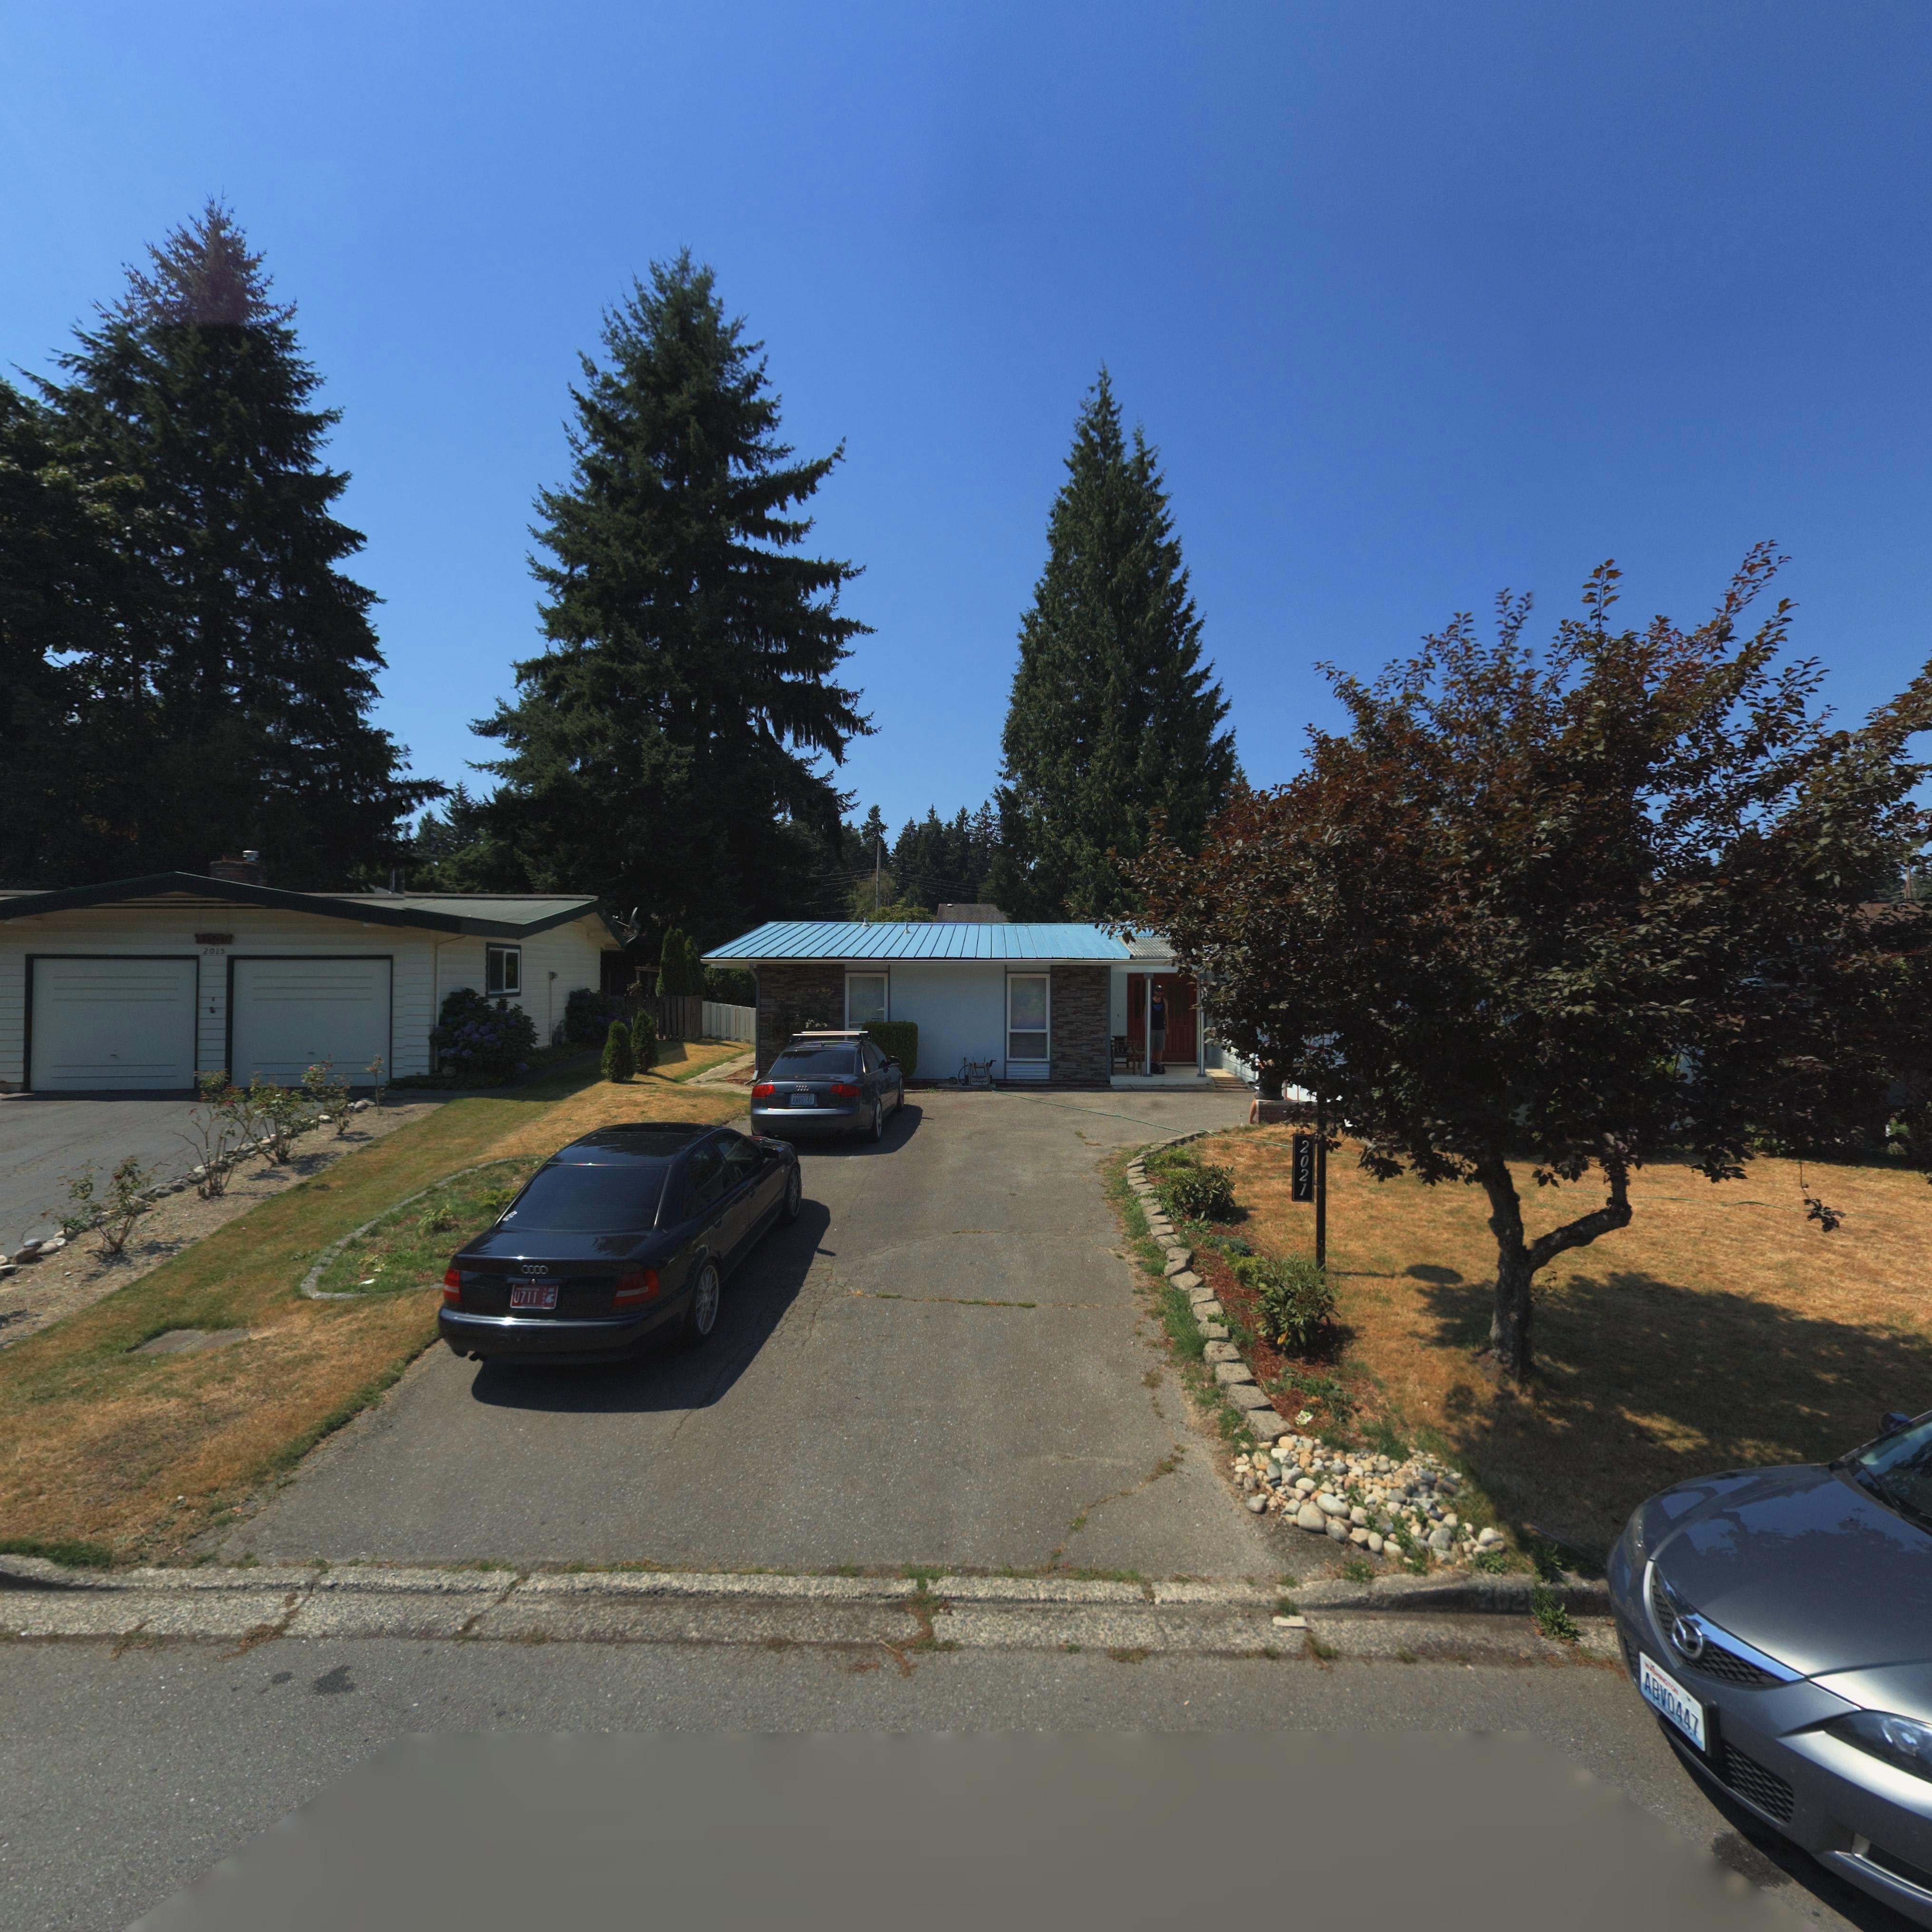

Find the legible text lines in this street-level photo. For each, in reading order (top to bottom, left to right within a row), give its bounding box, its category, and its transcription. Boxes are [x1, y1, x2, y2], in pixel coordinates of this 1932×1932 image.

[202, 947, 226, 956] StreetNumber: 2015